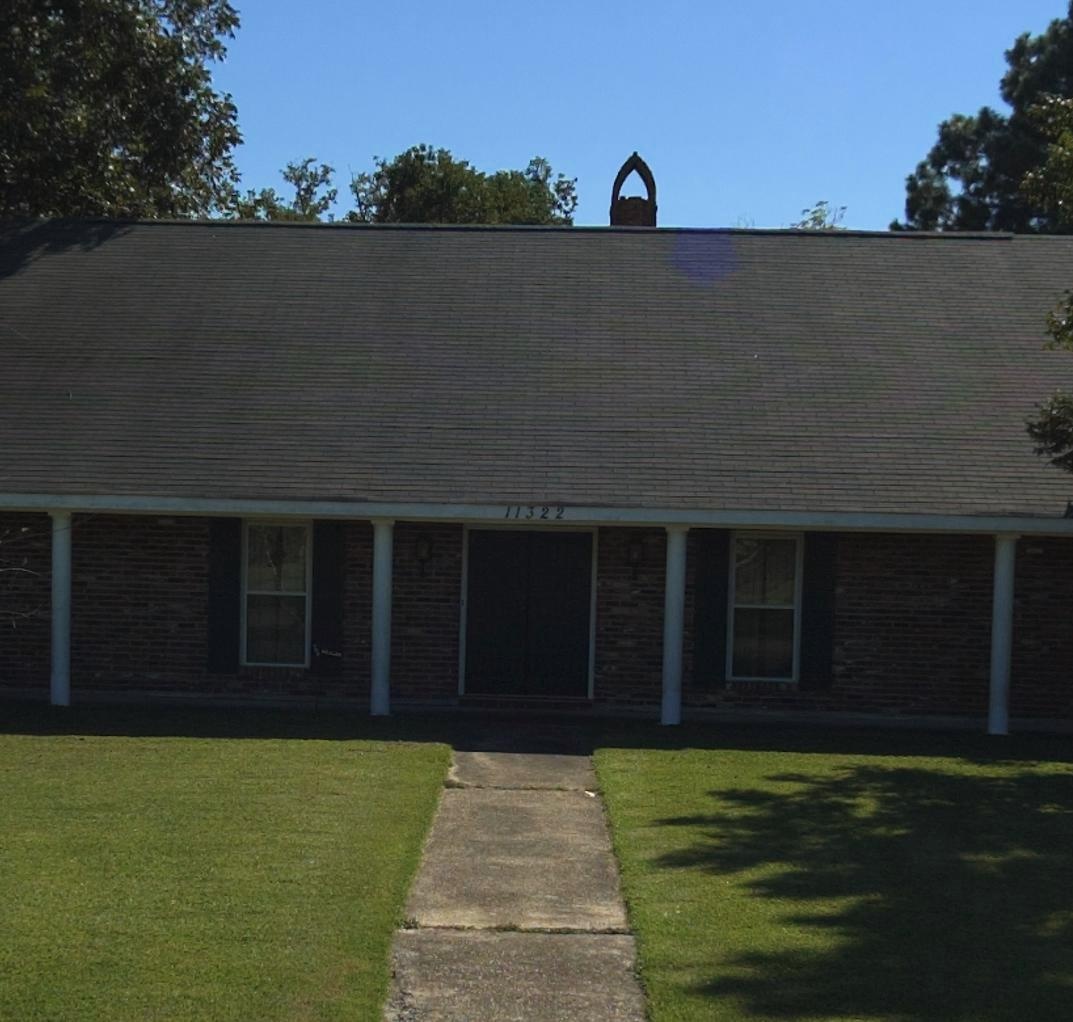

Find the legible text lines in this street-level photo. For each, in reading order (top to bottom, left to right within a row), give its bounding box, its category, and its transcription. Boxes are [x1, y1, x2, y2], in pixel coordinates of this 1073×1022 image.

[504, 505, 565, 519] StreetNumber: 11322